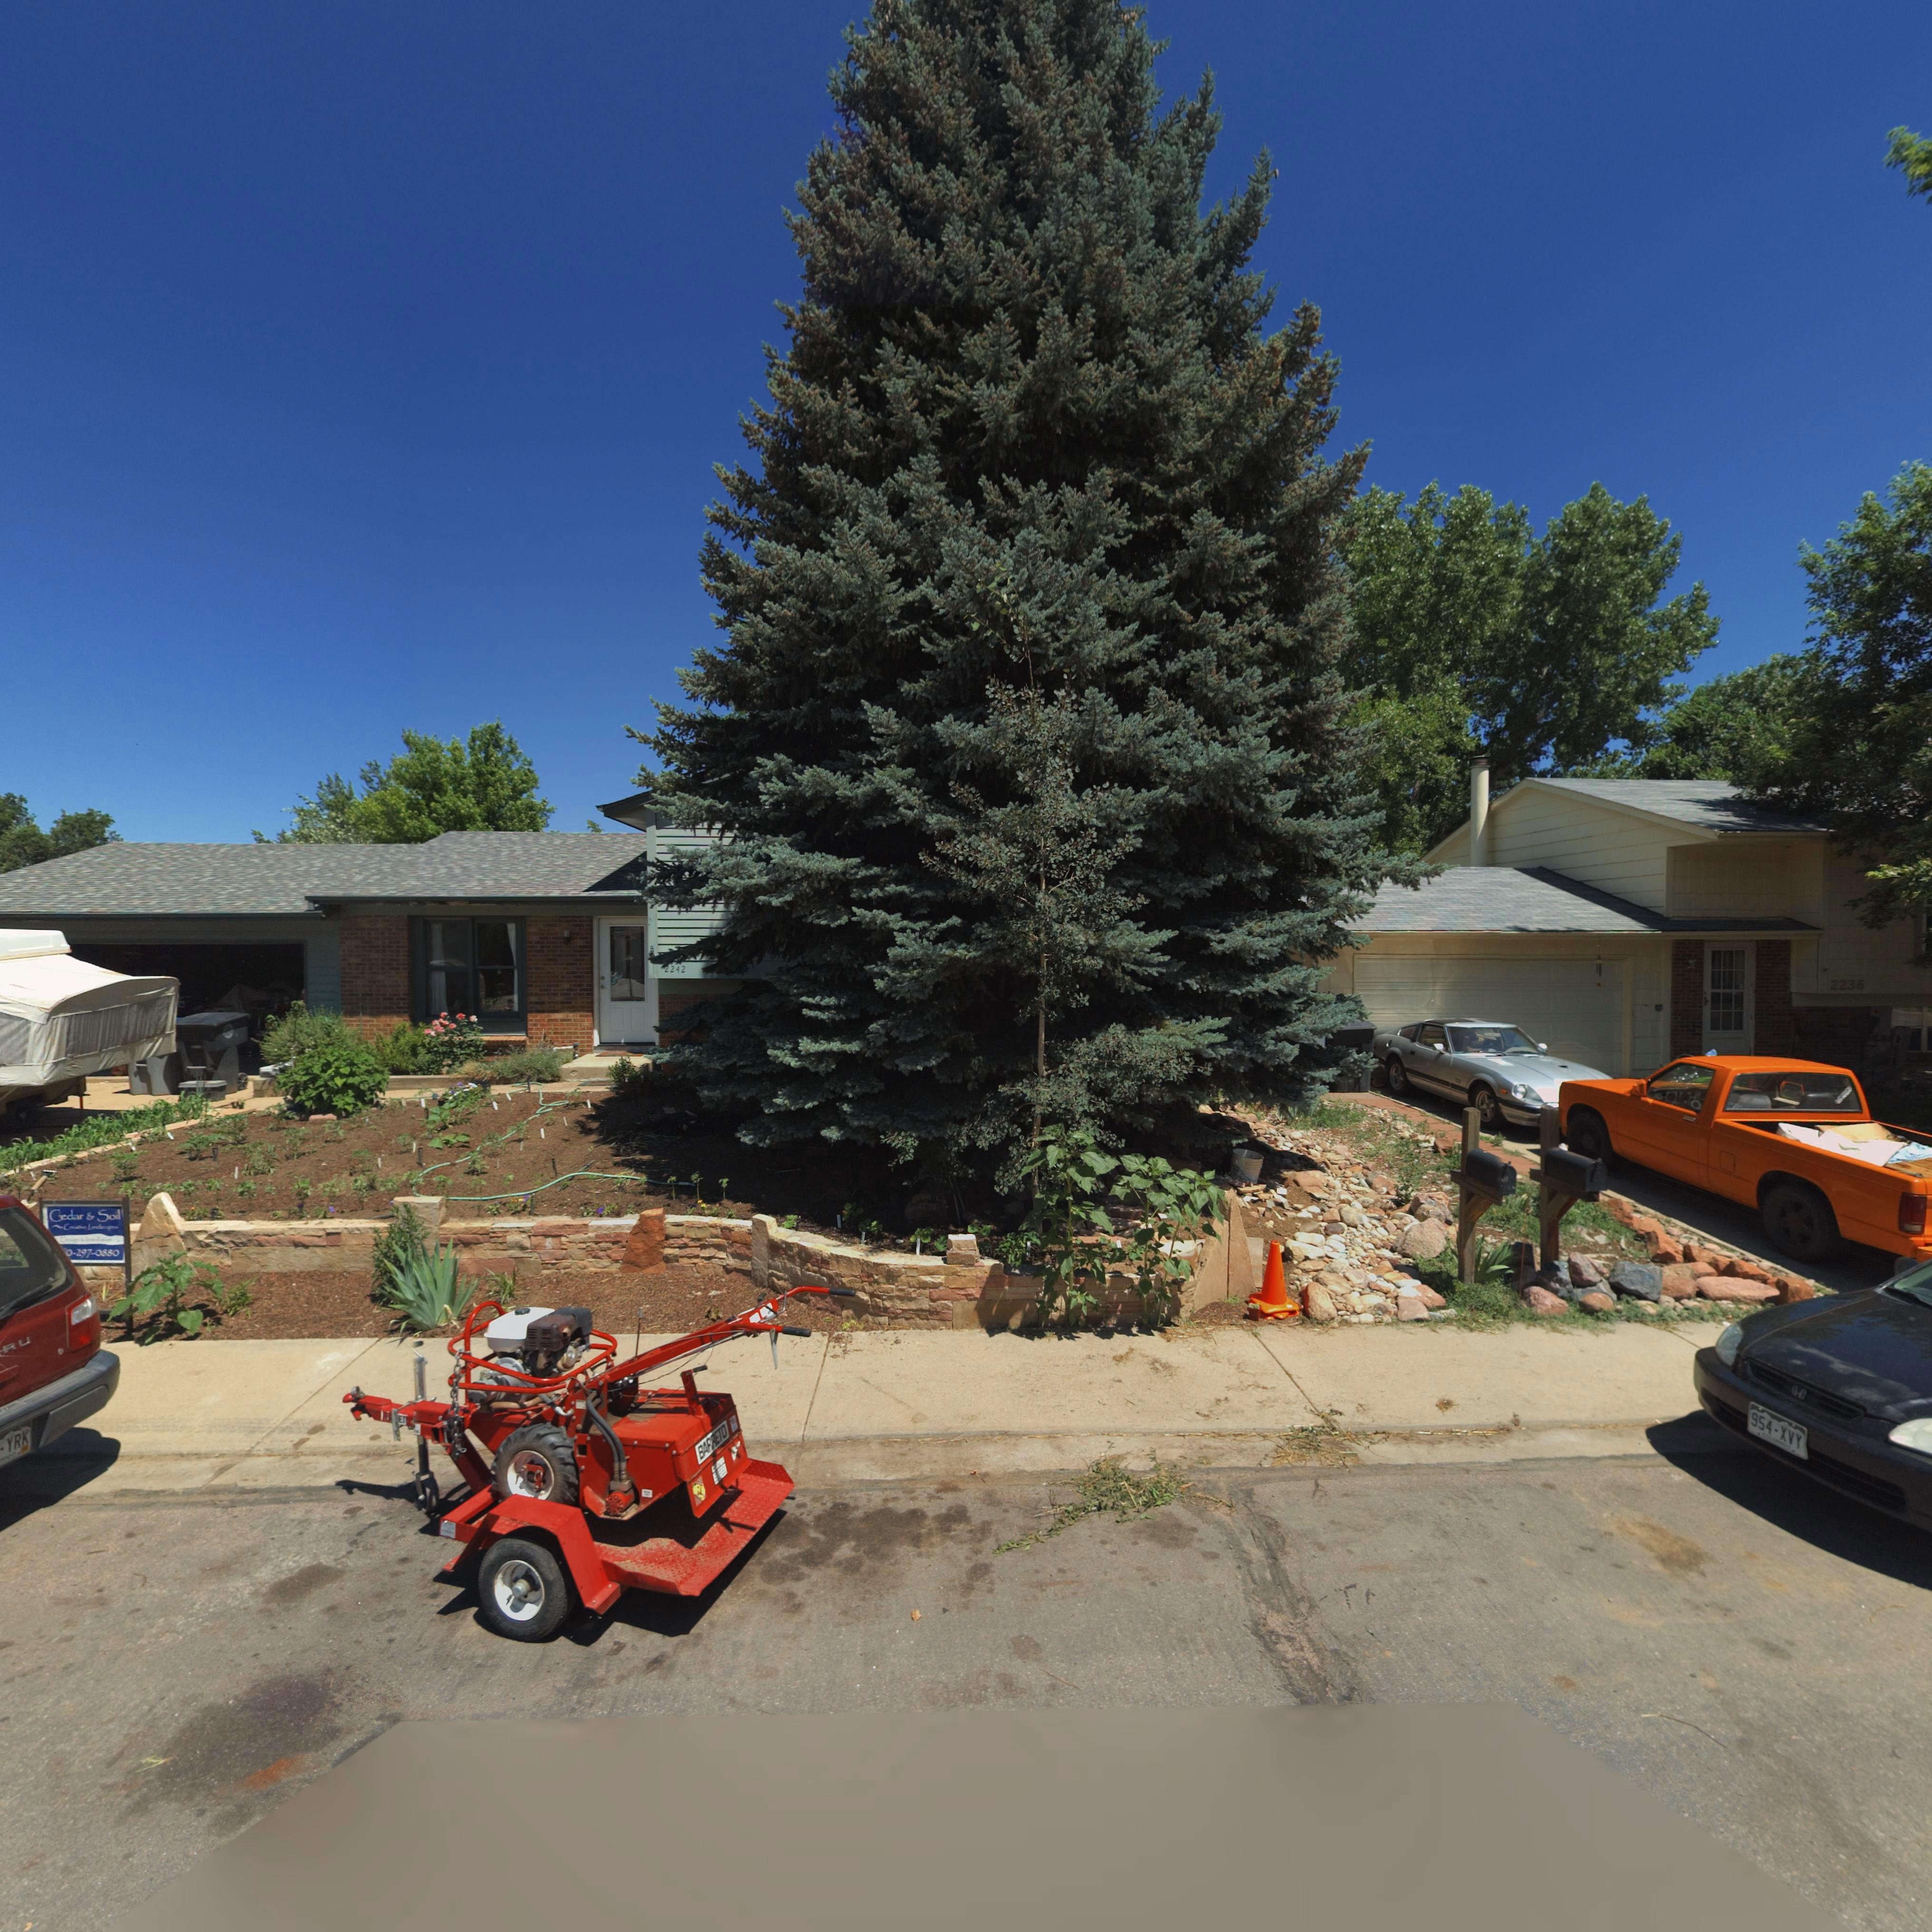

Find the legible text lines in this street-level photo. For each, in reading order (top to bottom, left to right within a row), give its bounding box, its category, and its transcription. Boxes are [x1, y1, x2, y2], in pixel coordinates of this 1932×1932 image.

[664, 965, 686, 973] StreetNumber: 2242
[1829, 979, 1865, 991] StreetNumber: 2236